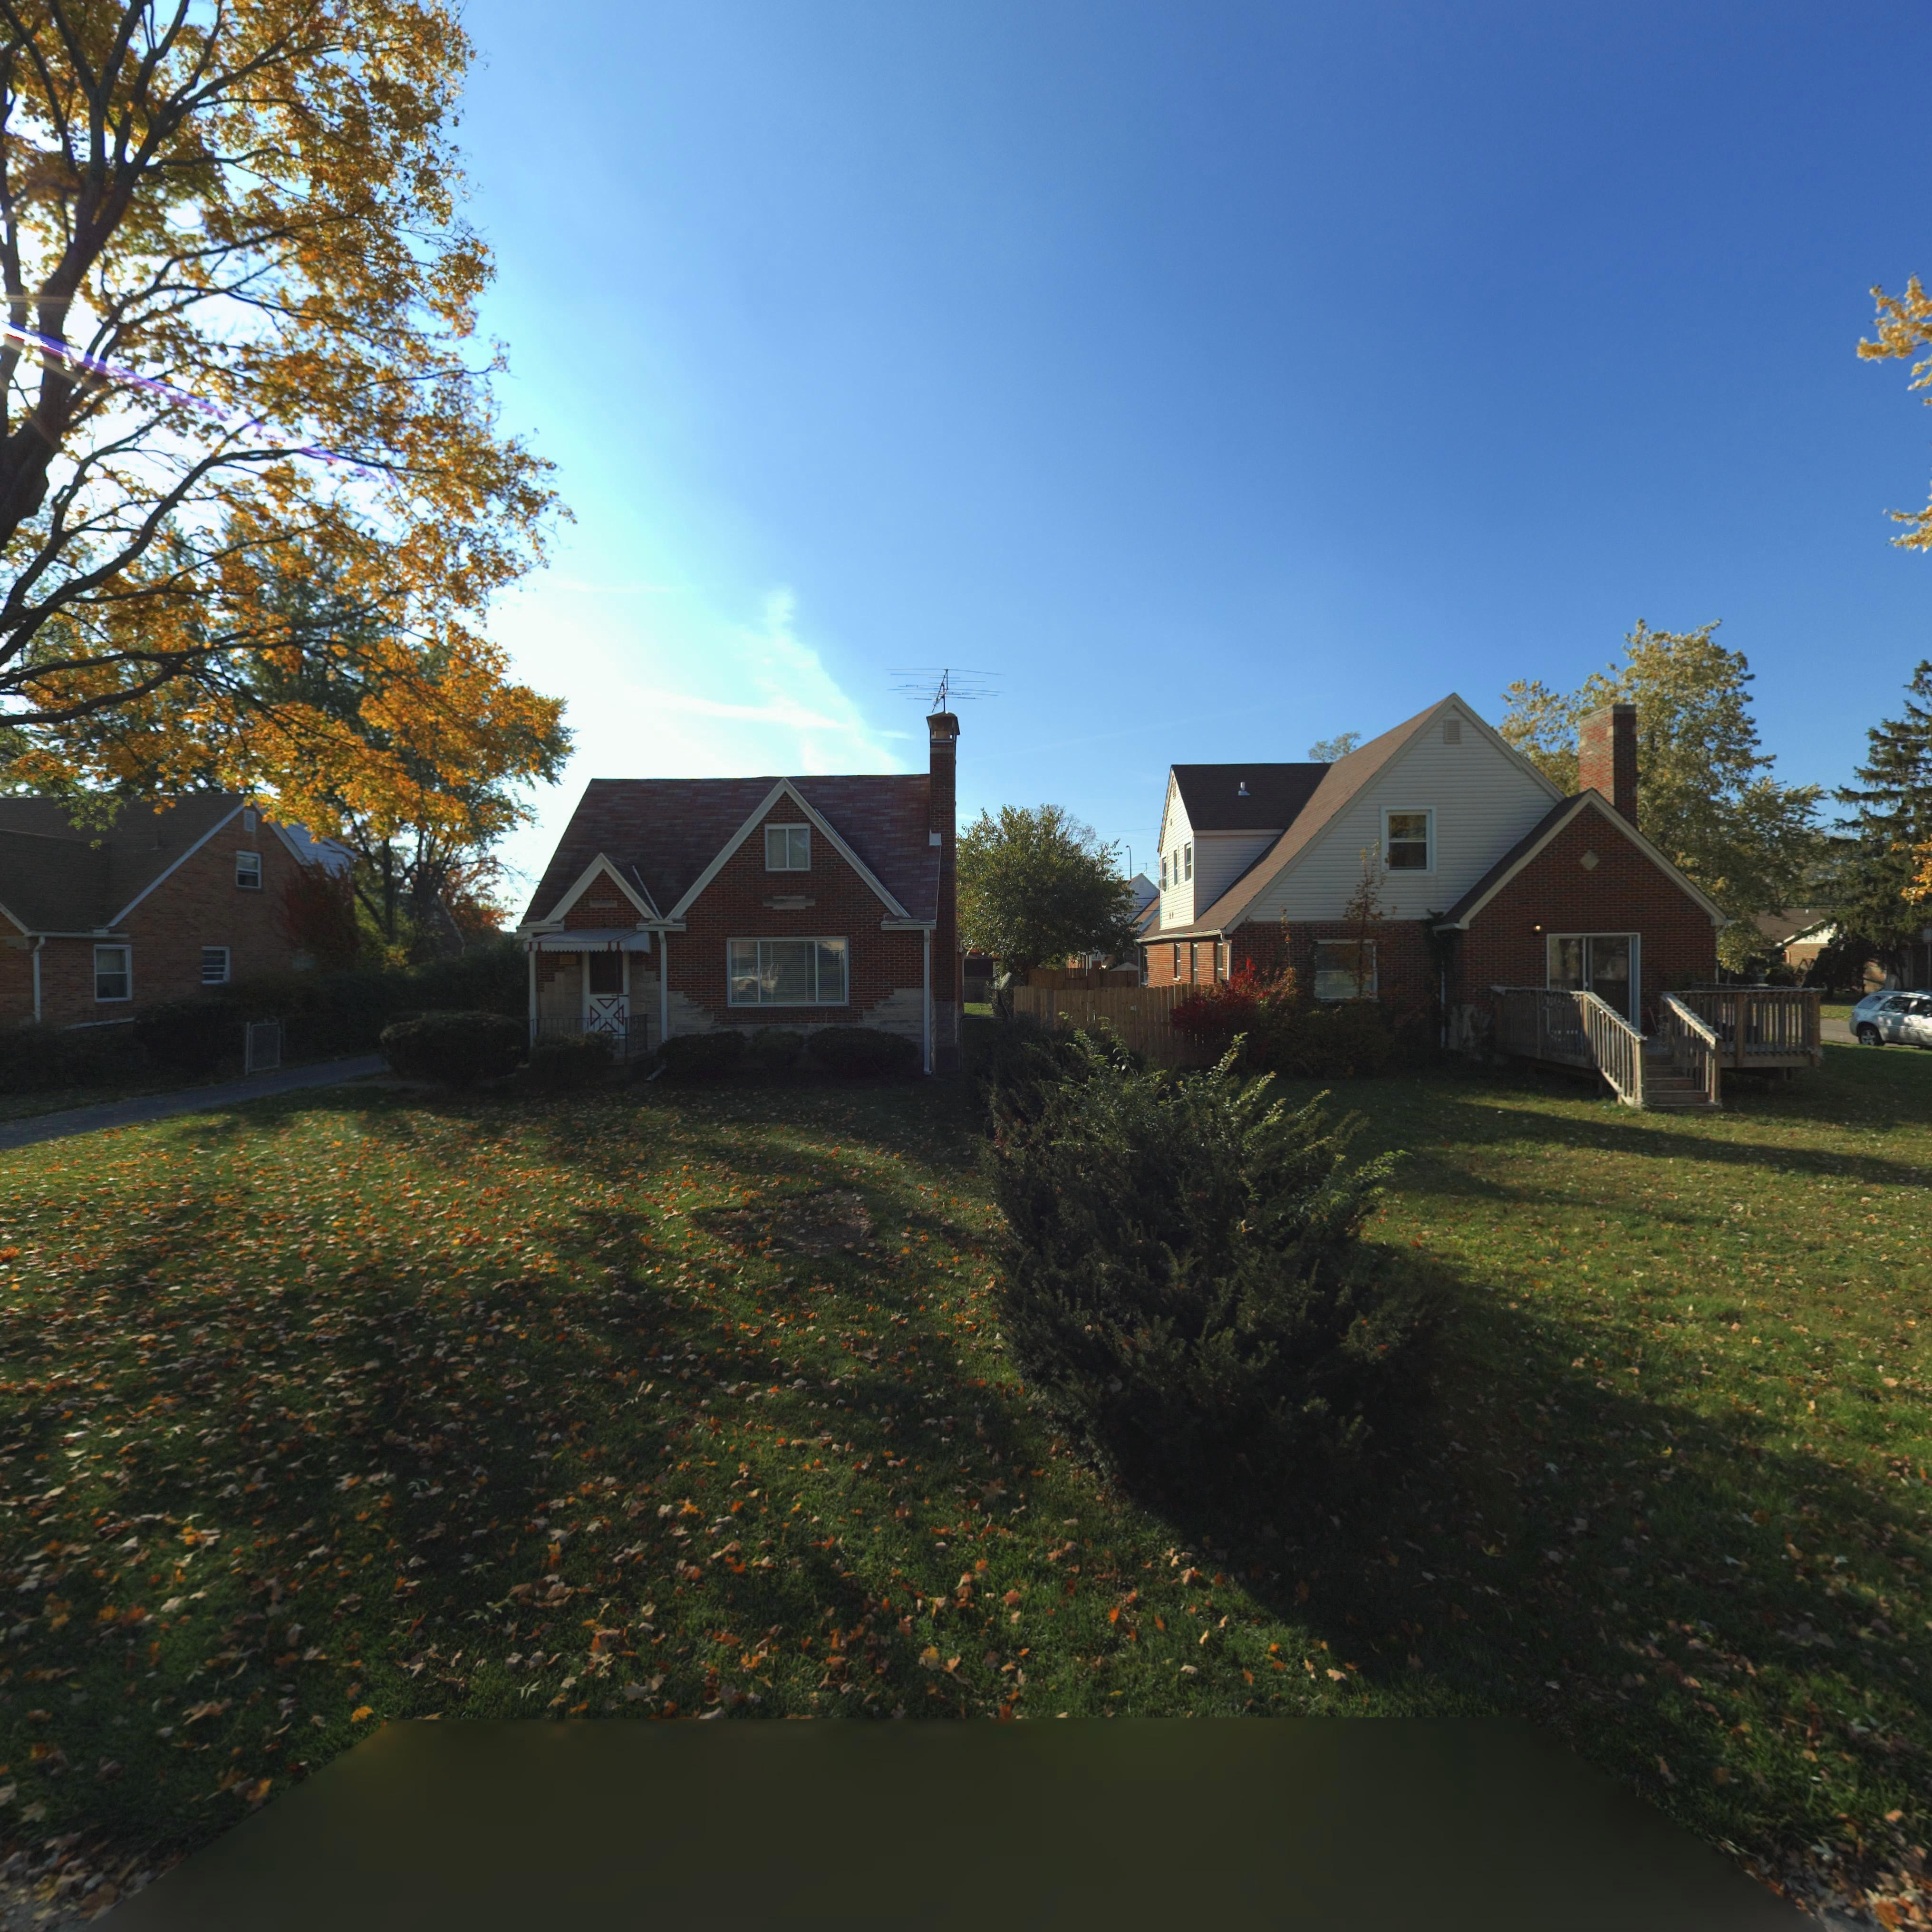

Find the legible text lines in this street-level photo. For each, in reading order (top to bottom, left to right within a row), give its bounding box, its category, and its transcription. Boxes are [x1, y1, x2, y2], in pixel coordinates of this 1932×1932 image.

[560, 955, 575, 963] StreetNumber: 3221